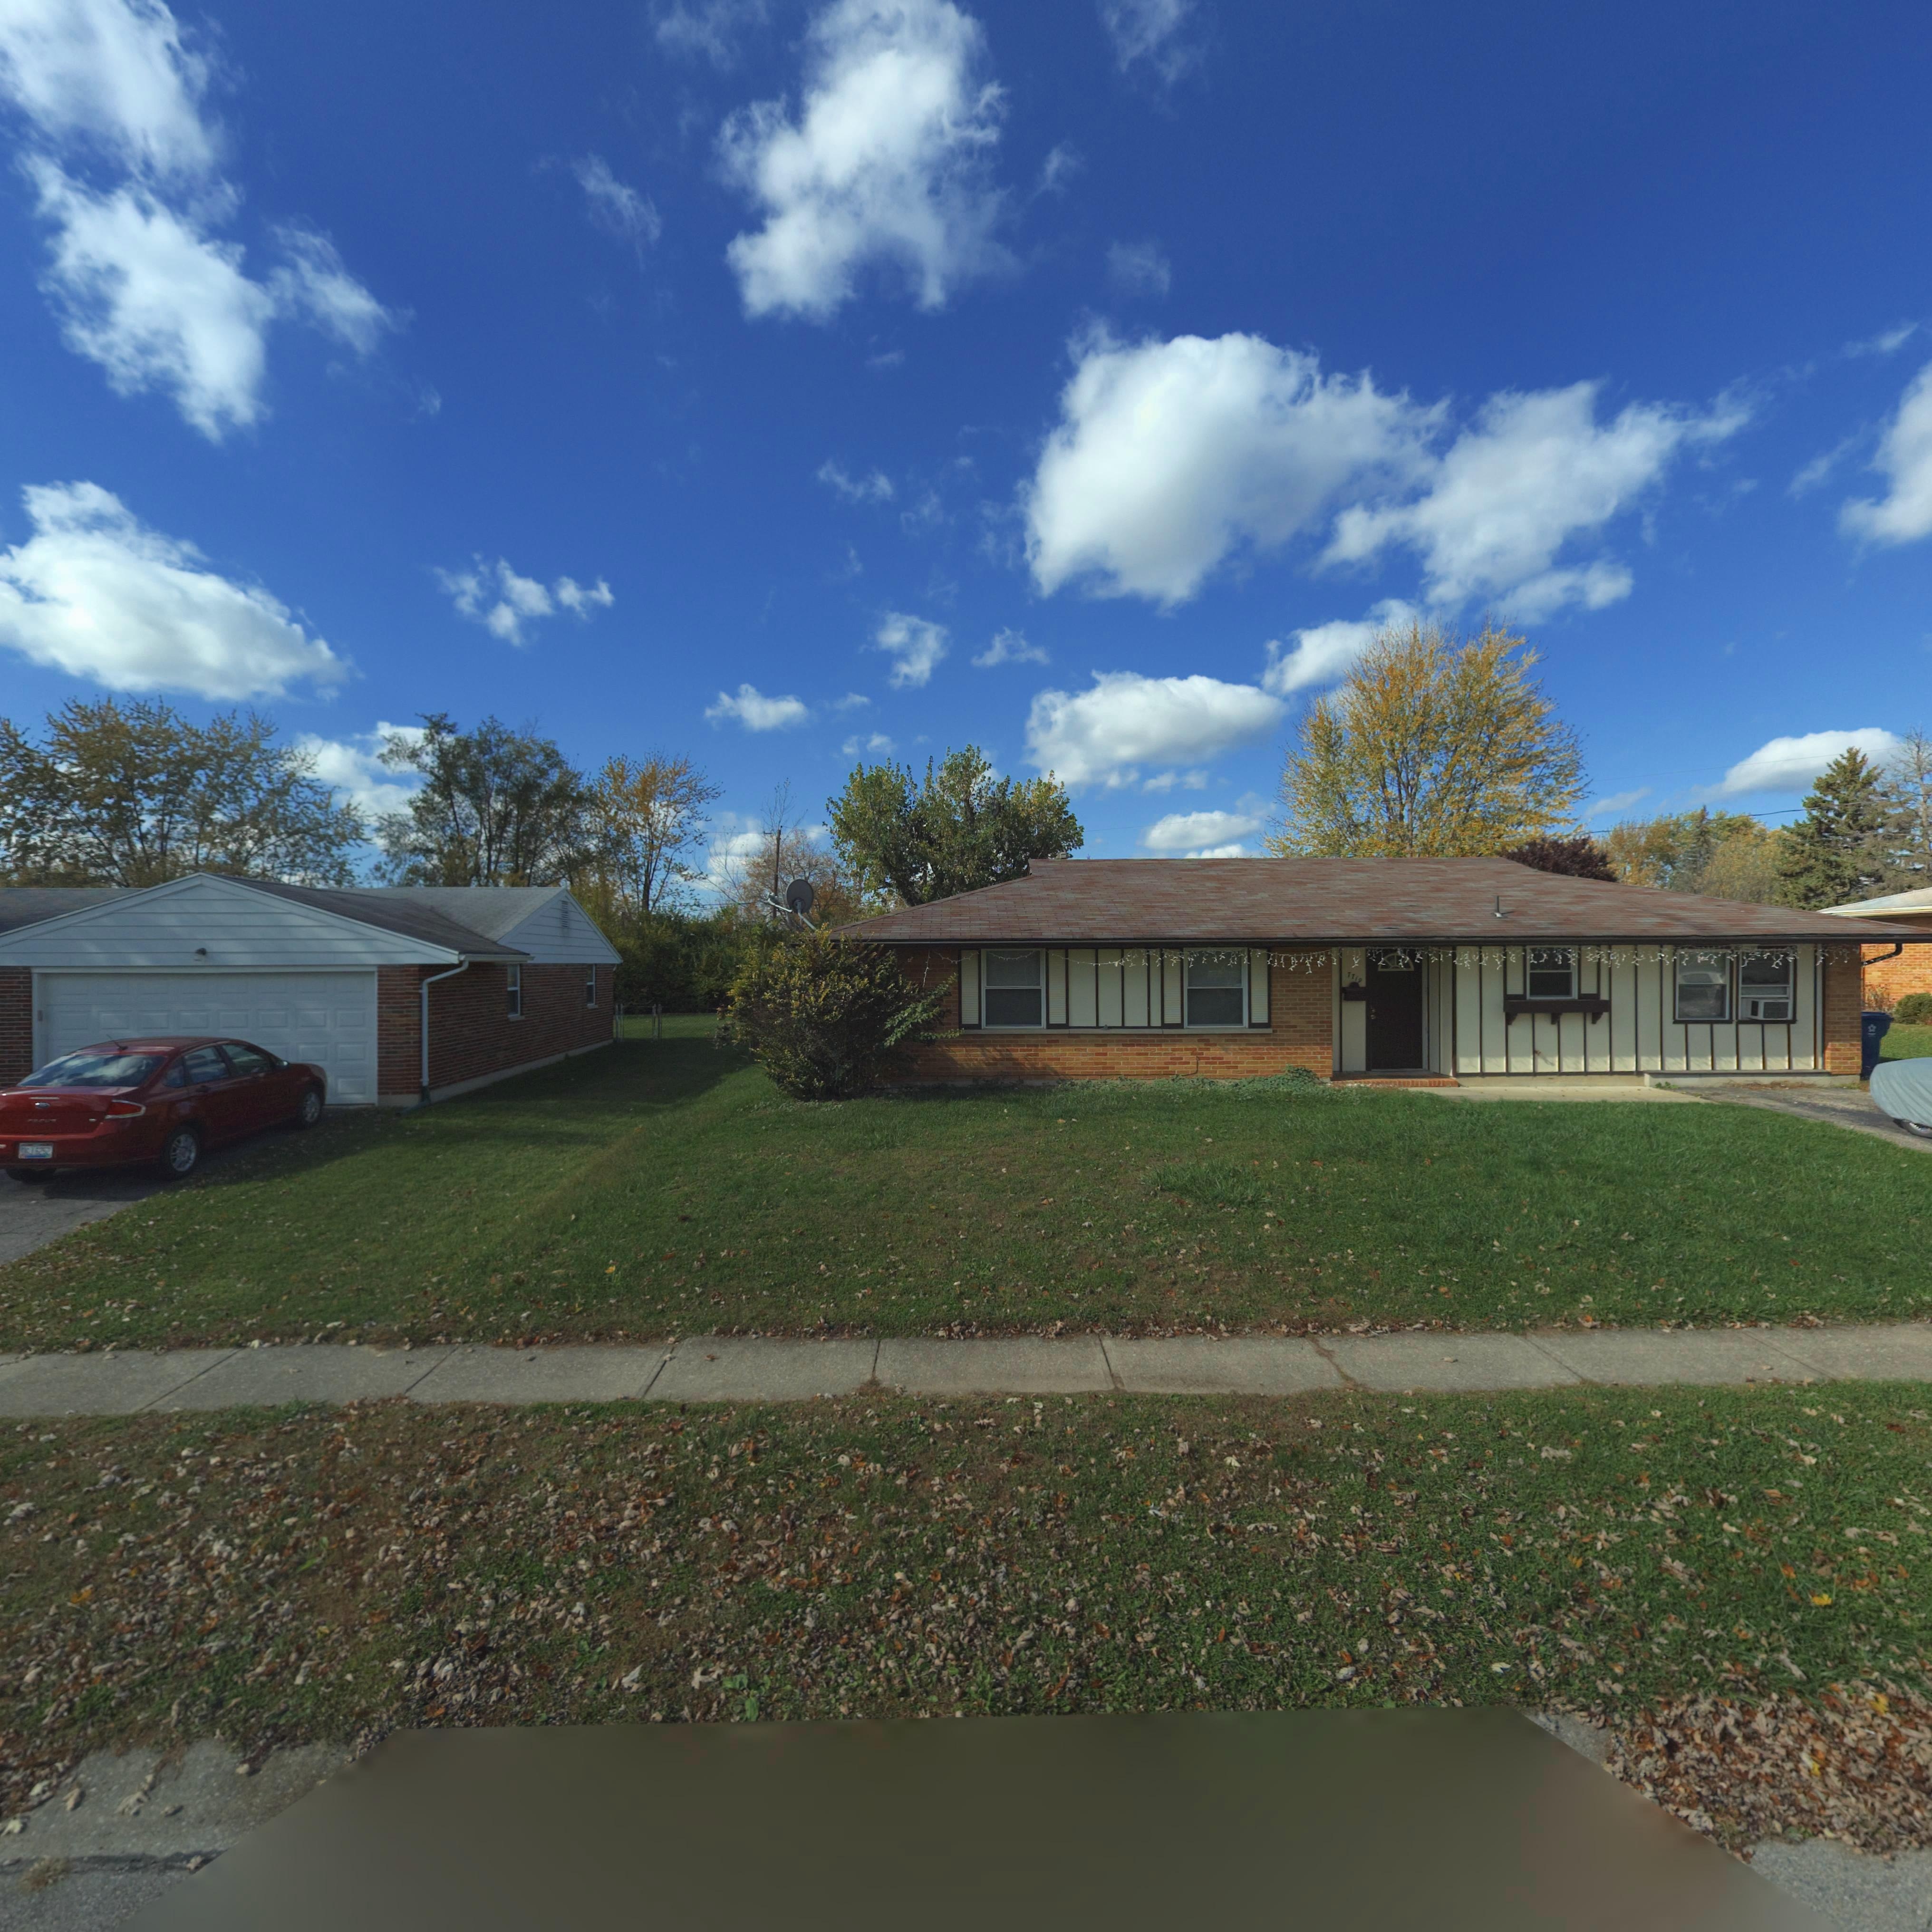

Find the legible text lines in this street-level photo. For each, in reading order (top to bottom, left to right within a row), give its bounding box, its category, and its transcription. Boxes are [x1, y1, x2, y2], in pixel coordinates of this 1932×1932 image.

[1347, 971, 1363, 984] StreetNumber: 7719